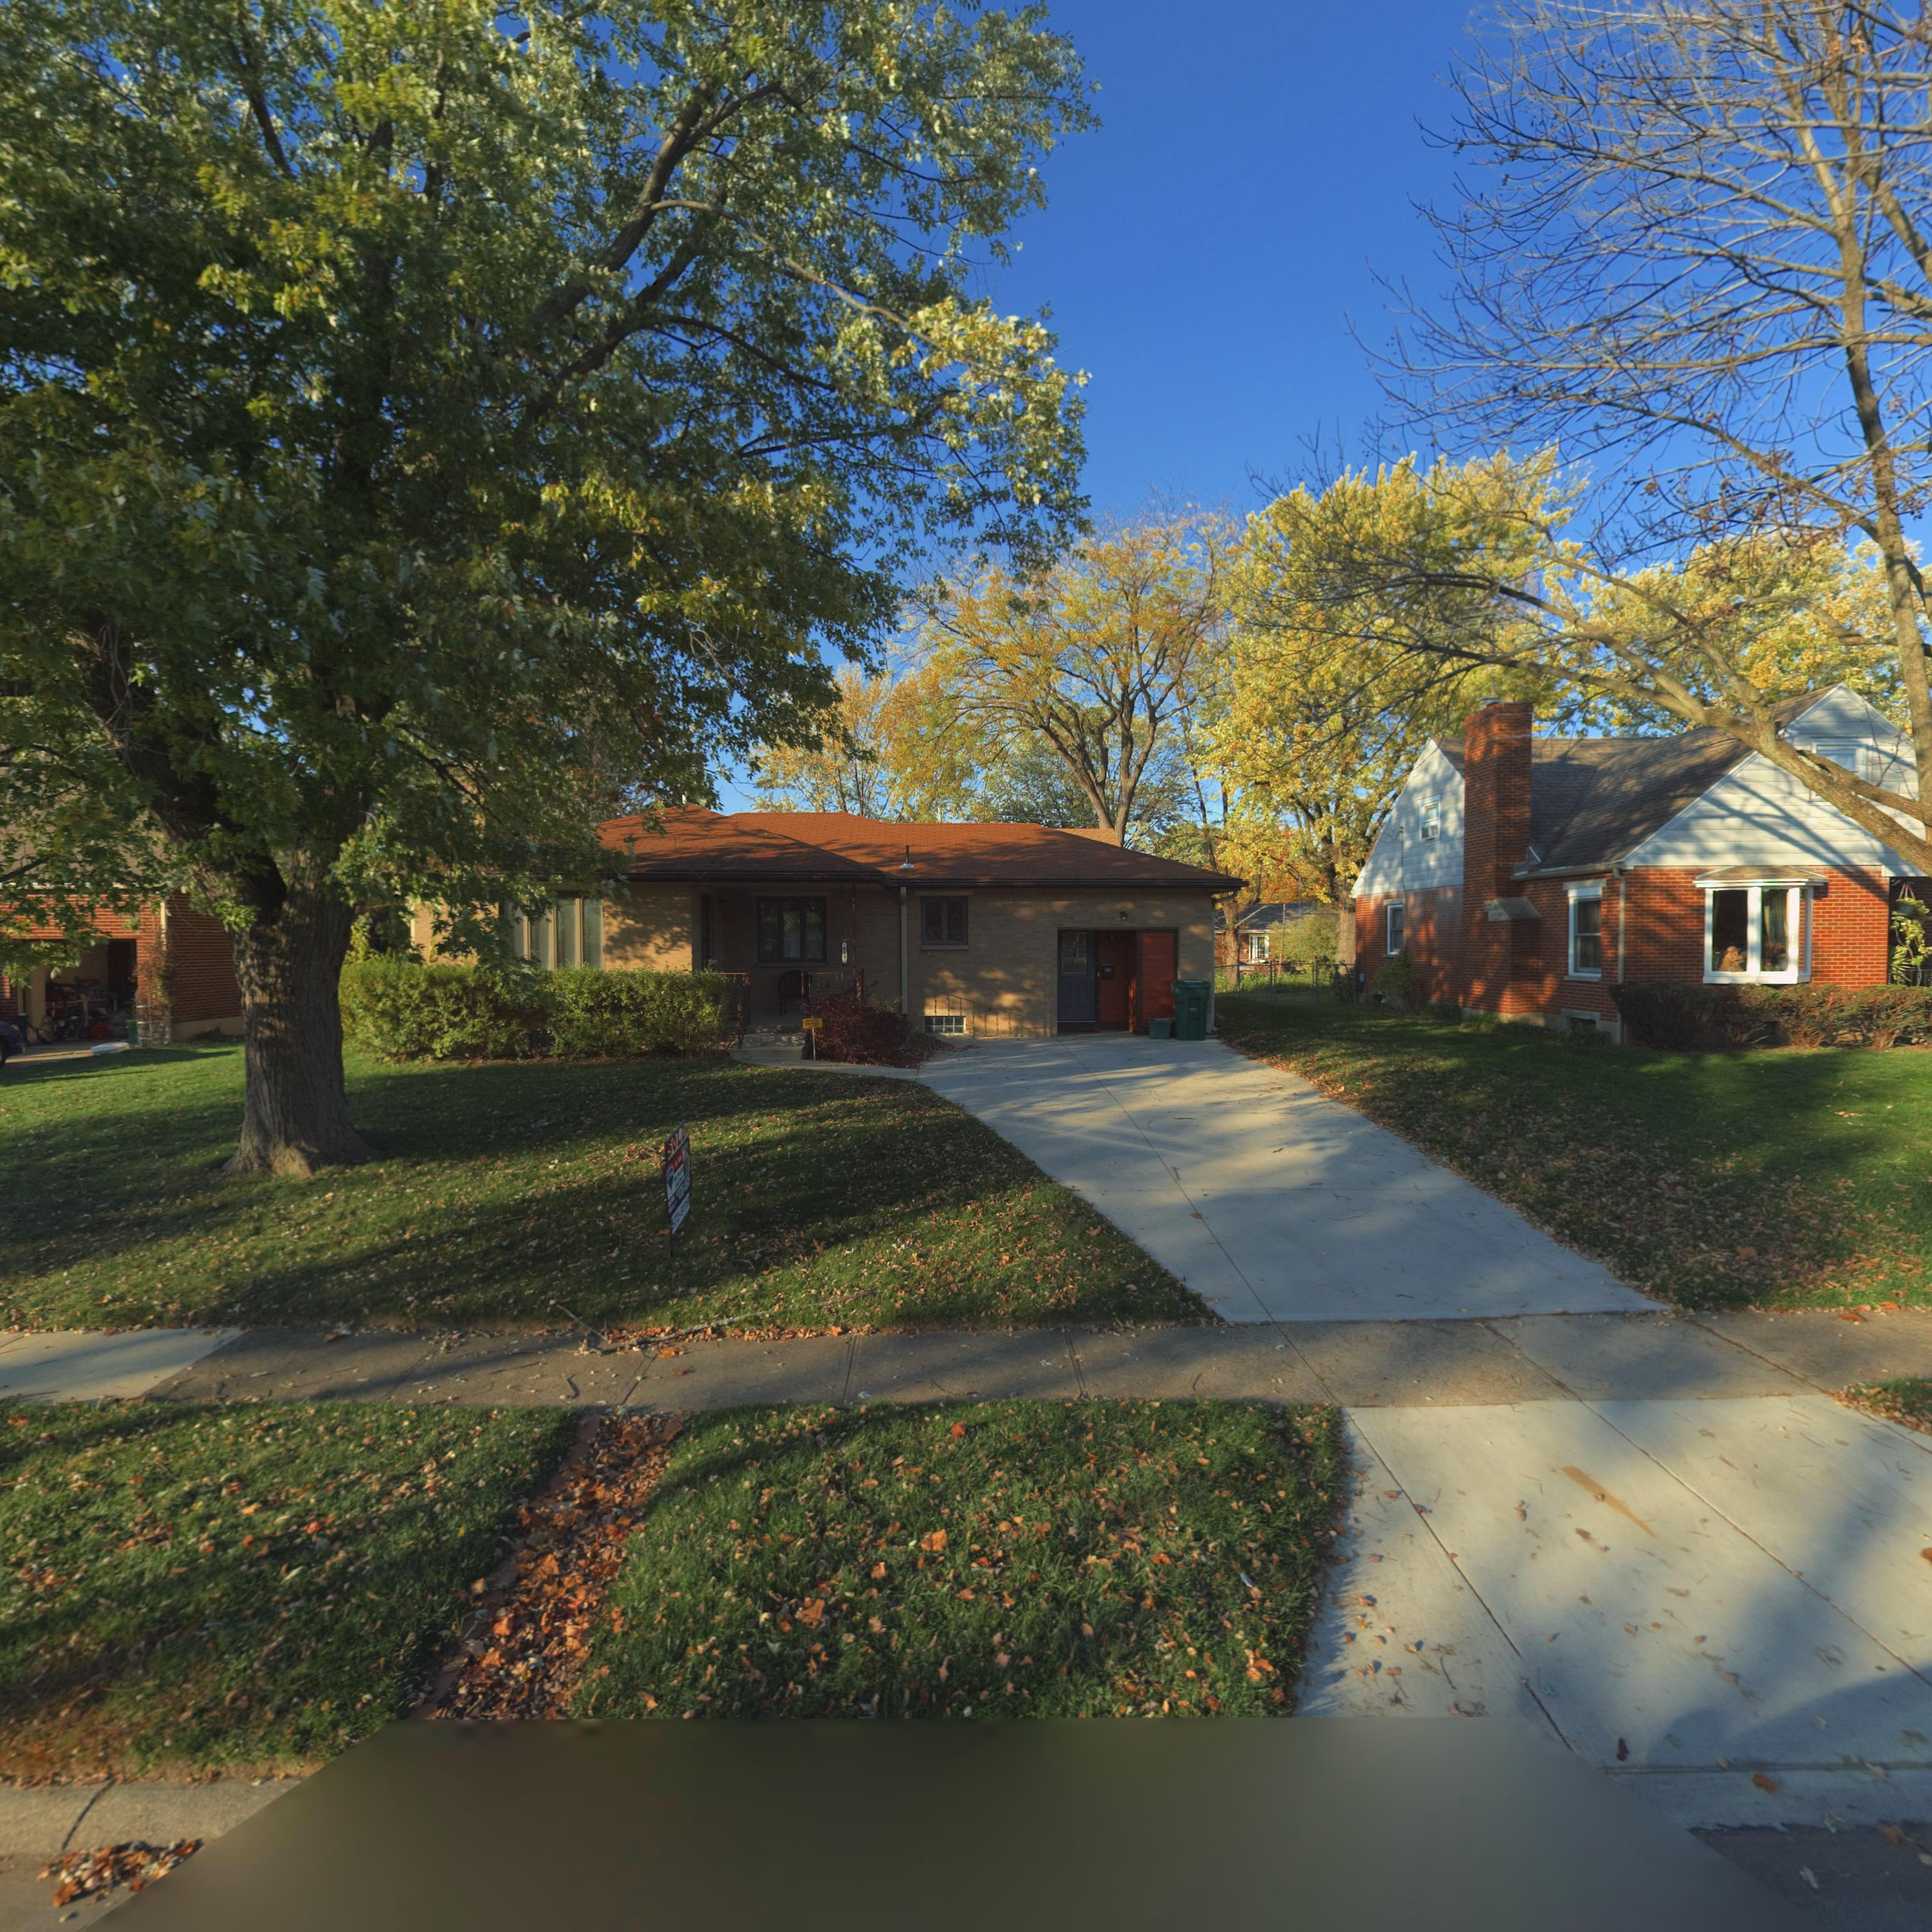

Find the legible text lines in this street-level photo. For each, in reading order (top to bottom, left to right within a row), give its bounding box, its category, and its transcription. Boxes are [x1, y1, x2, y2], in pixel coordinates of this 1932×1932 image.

[842, 945, 847, 960] StreetNumber: 609